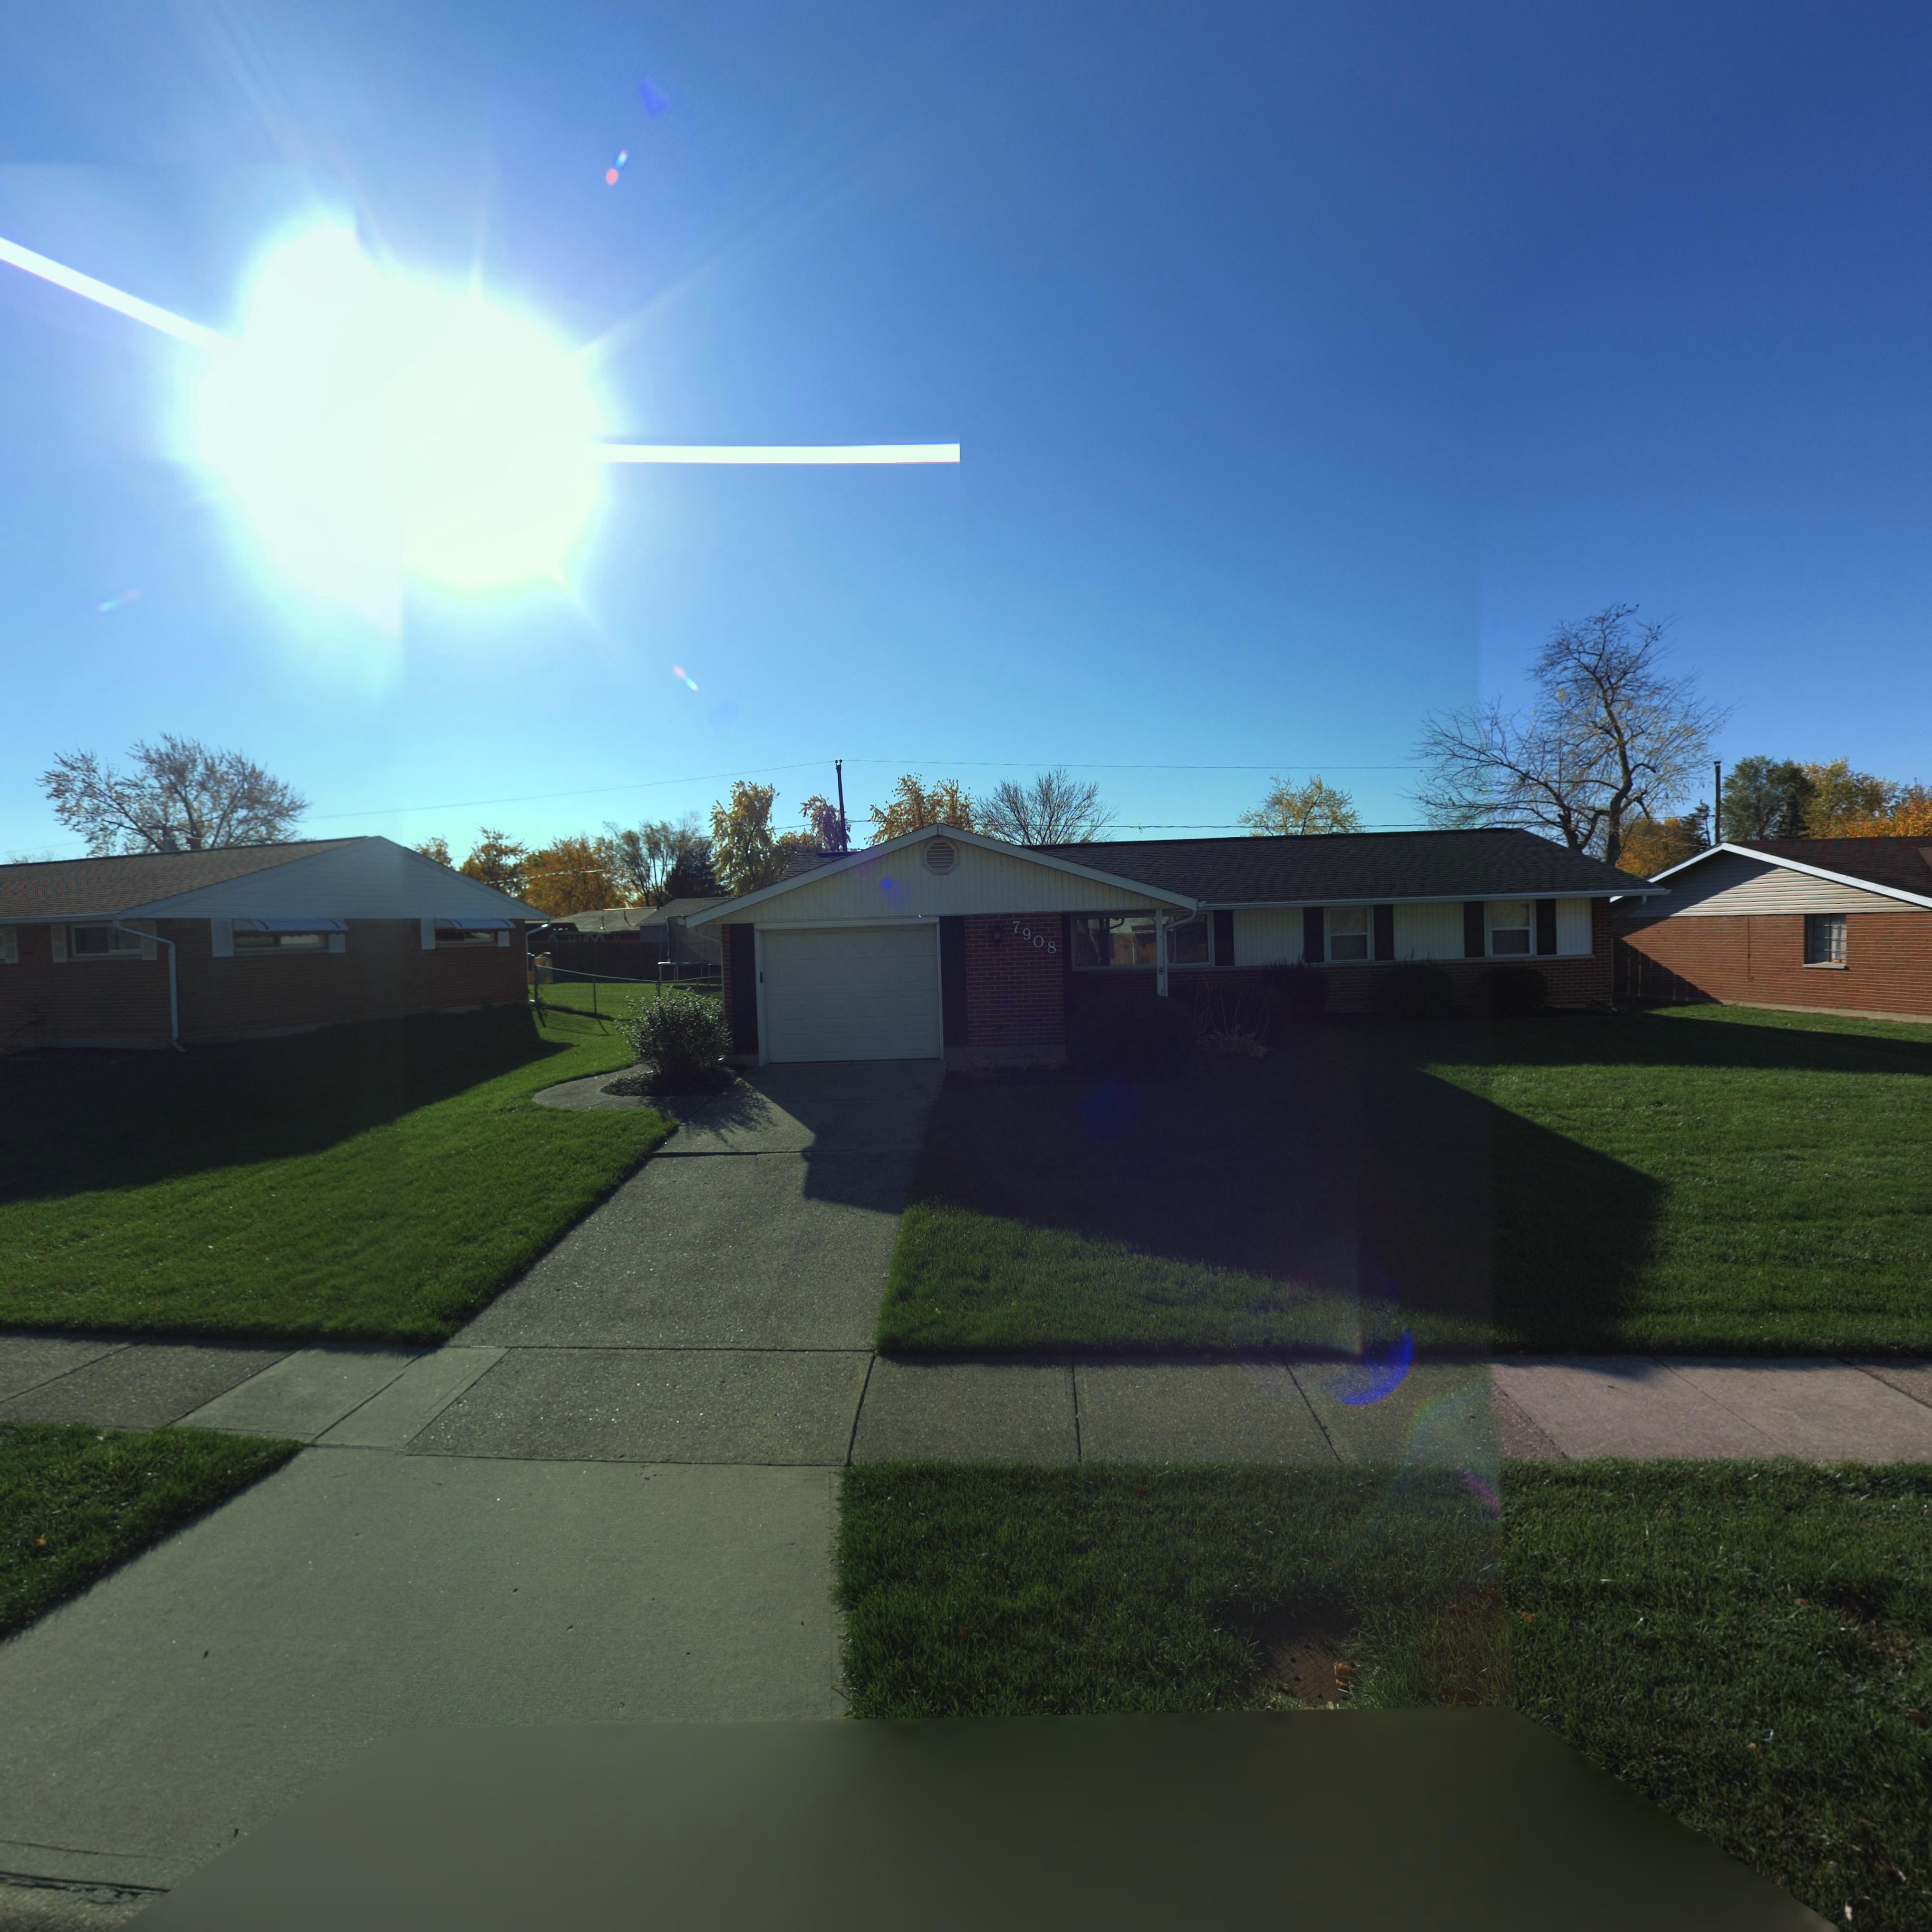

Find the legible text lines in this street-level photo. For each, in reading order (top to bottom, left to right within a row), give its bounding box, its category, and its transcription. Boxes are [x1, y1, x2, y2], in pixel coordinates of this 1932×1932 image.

[1012, 920, 1057, 955] StreetNumber: 7908